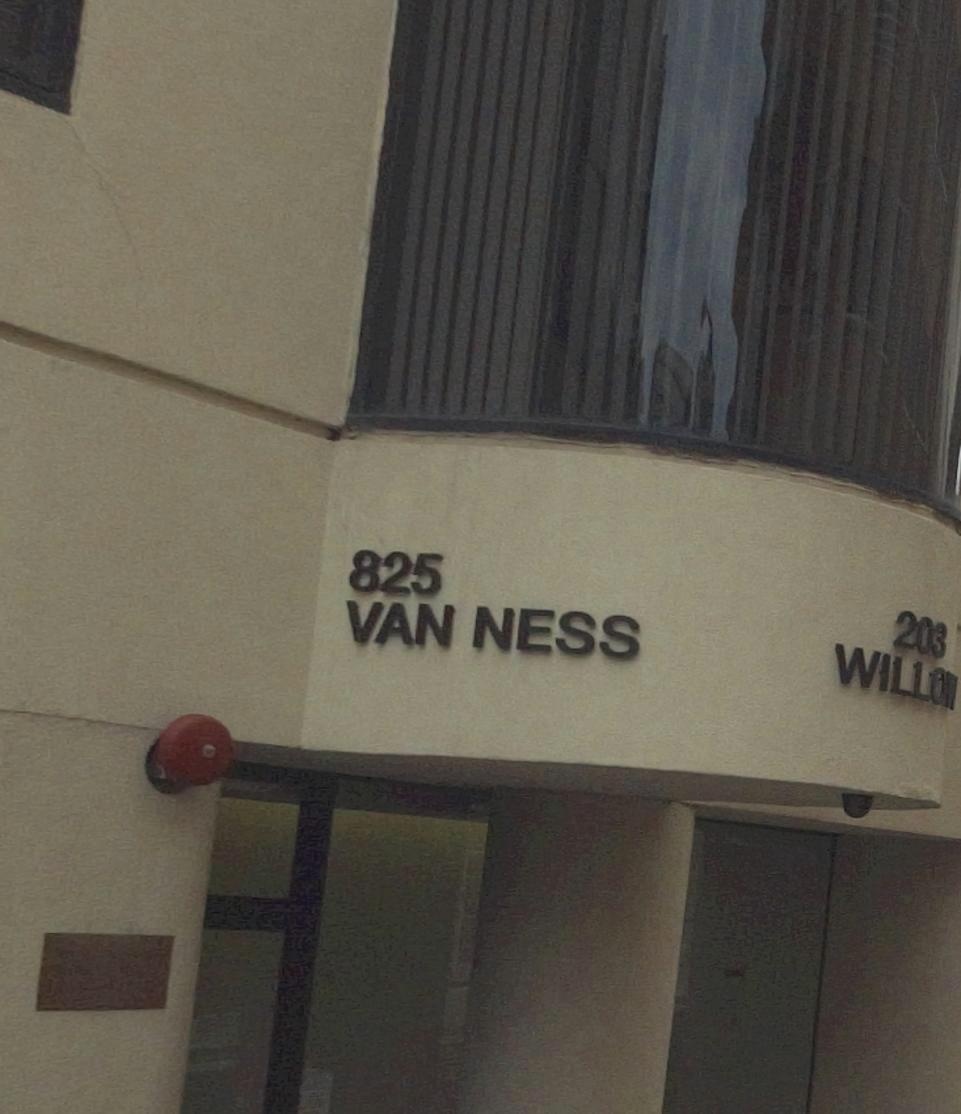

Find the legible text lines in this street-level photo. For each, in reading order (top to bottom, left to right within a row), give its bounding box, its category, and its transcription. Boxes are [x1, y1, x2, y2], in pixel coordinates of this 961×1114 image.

[346, 547, 446, 597] StreetNumber: 825
[343, 599, 643, 662] StreetName: VAN NESS
[890, 607, 949, 663] StreetNumber: 203
[830, 642, 959, 712] StreetName: WILLO*